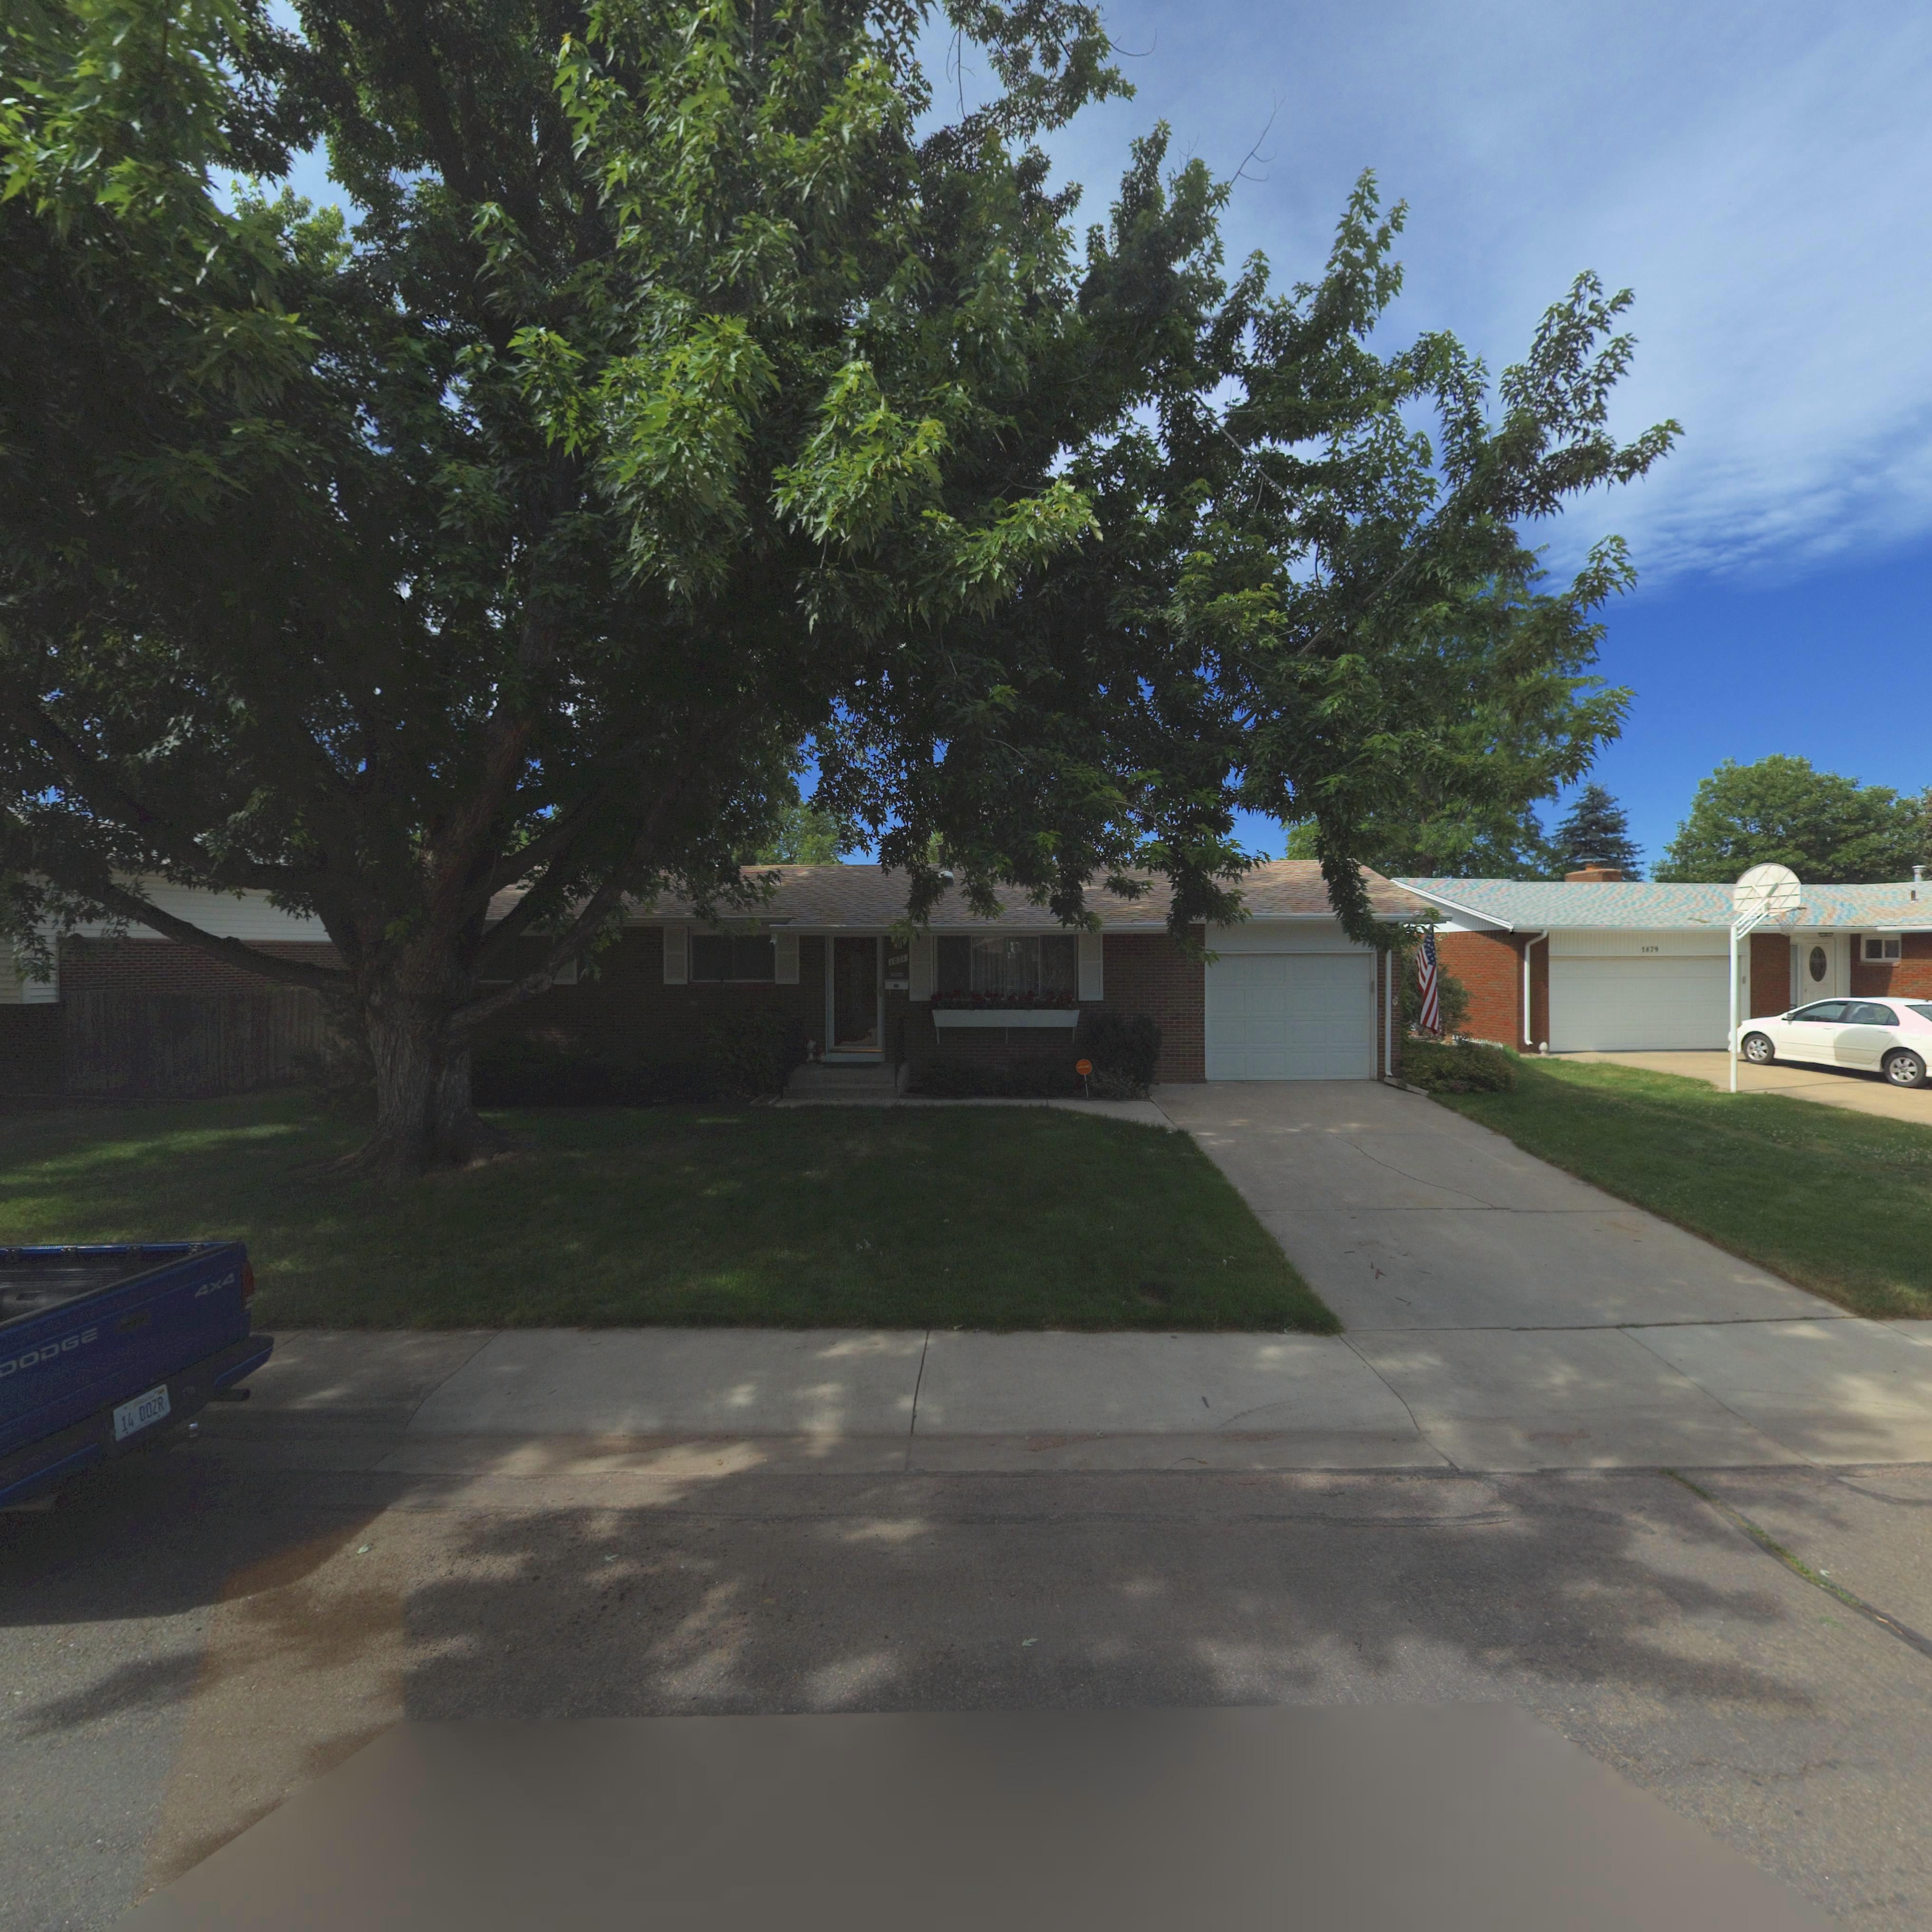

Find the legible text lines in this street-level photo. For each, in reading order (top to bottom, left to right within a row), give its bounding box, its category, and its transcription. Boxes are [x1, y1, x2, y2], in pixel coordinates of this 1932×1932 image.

[1642, 946, 1658, 953] StreetNumber: 1879
[890, 955, 905, 965] StreetNumber: 1871